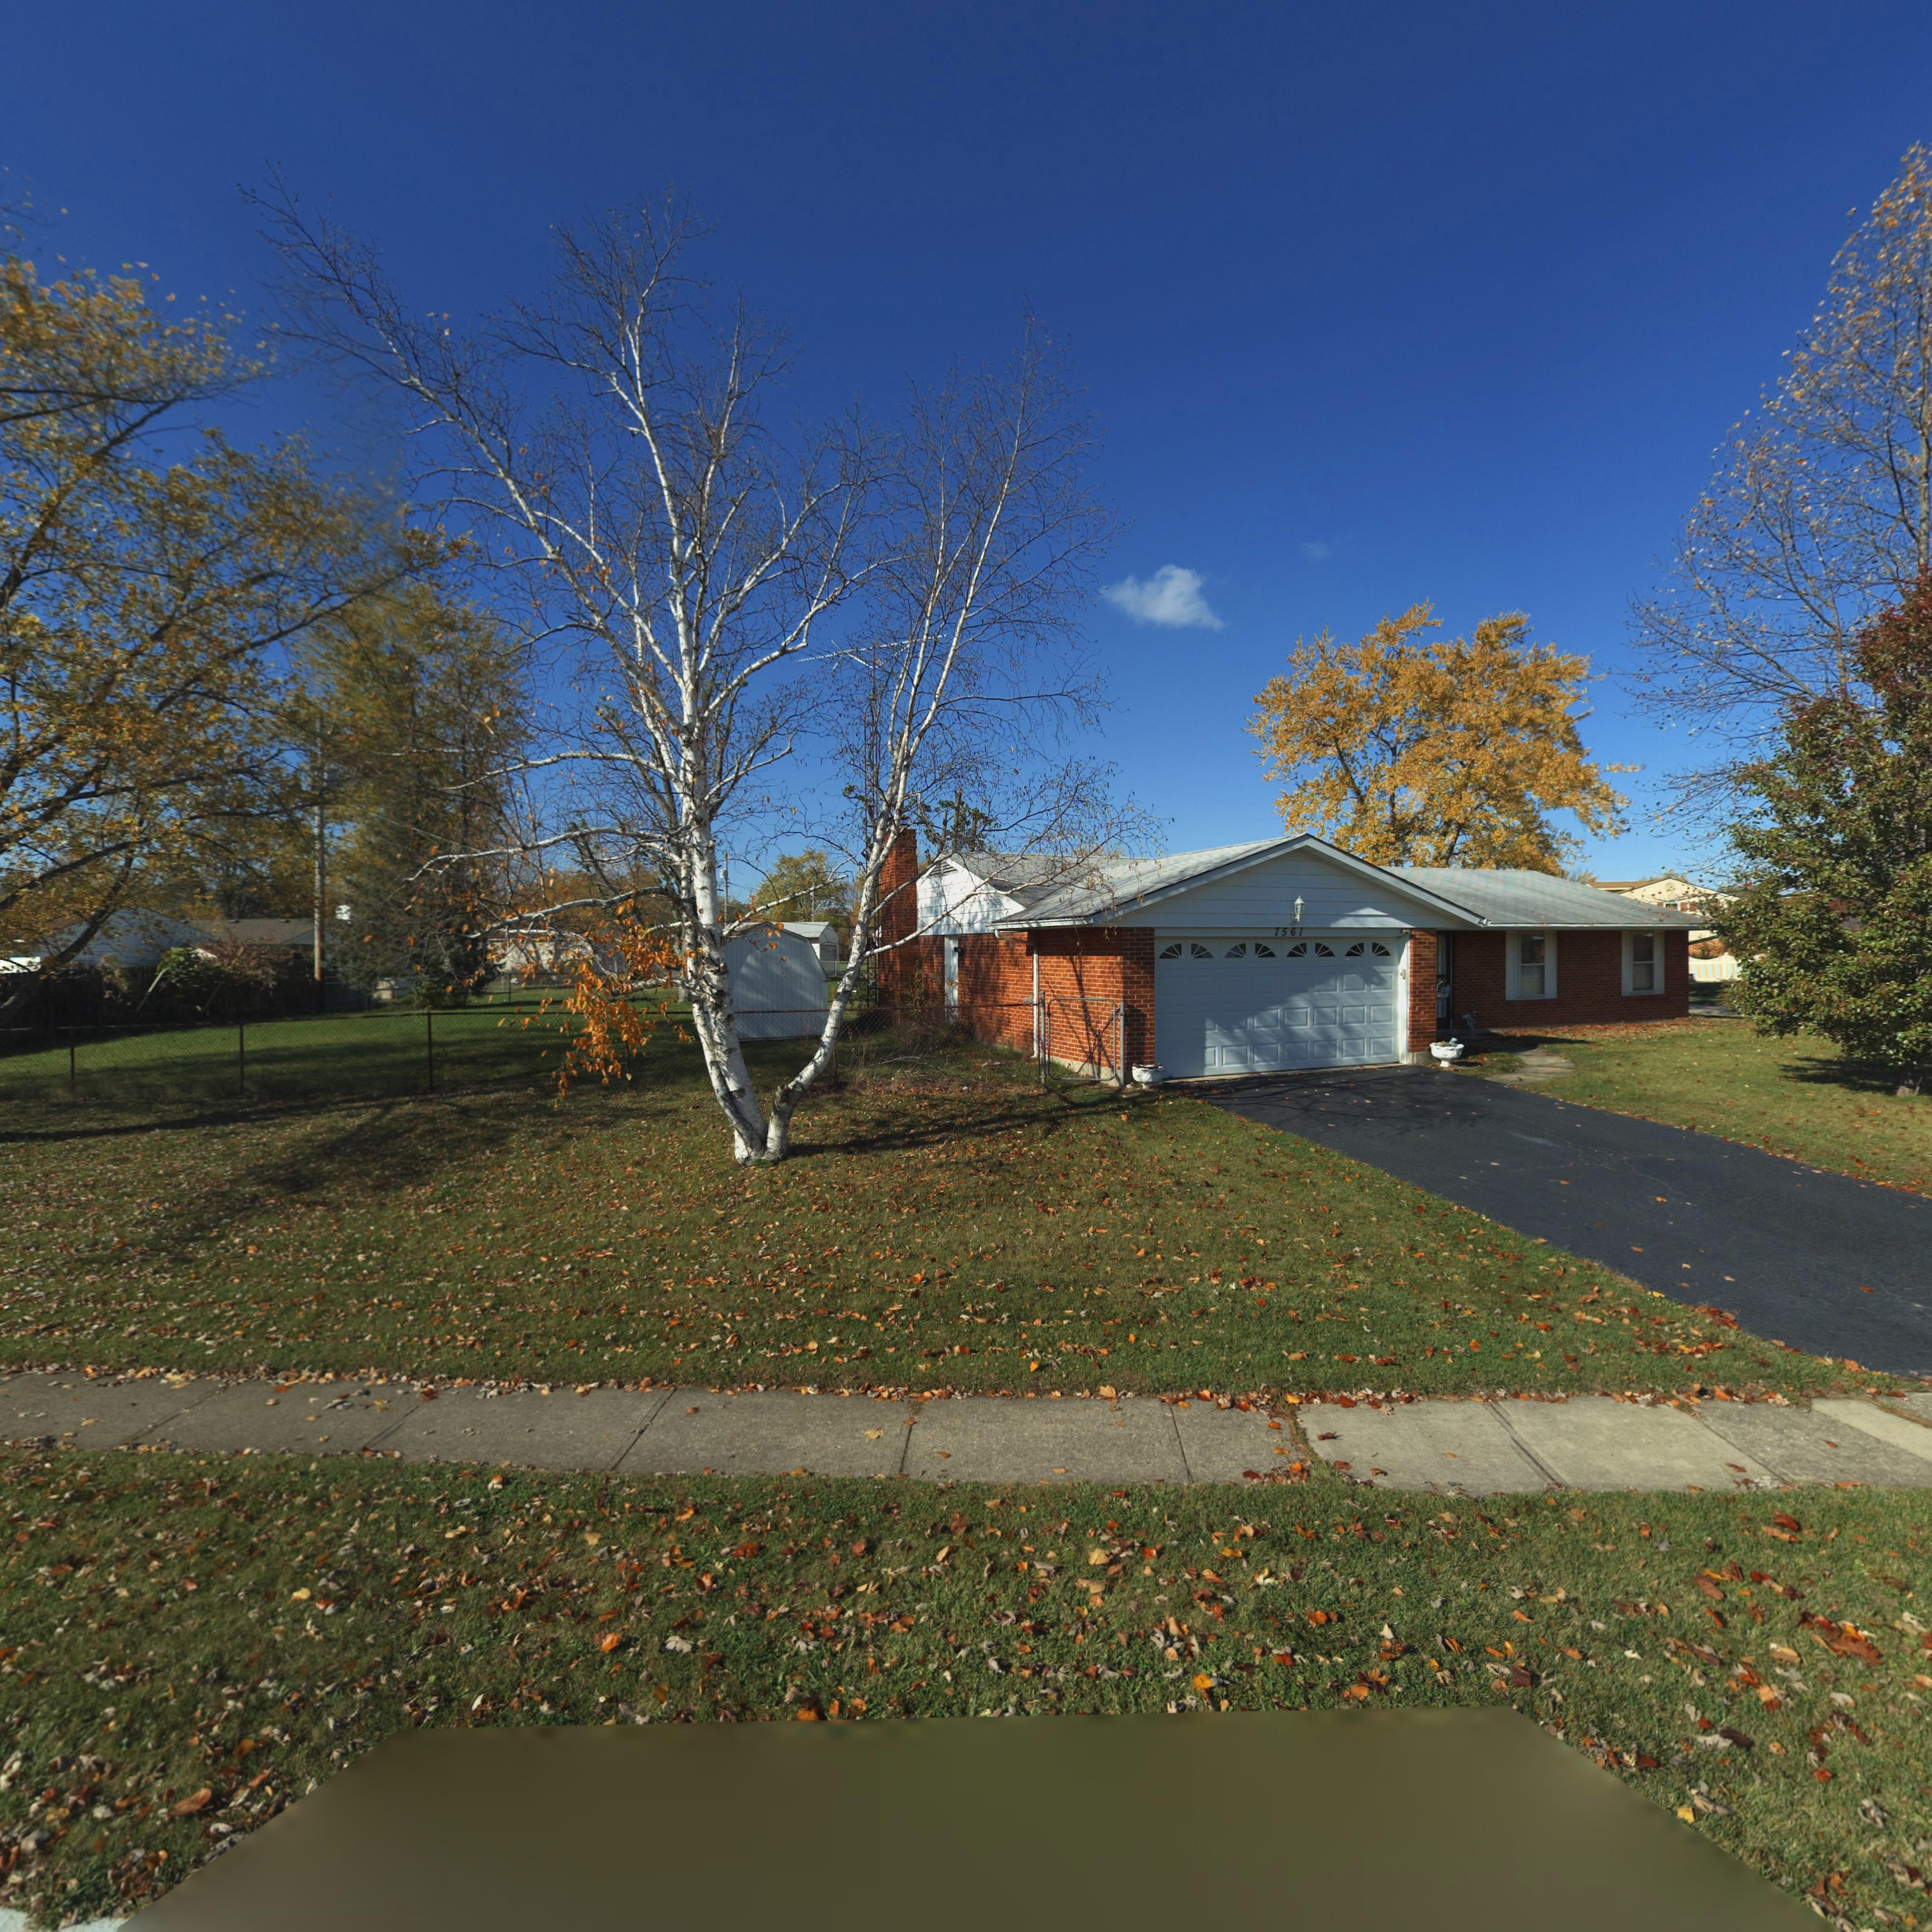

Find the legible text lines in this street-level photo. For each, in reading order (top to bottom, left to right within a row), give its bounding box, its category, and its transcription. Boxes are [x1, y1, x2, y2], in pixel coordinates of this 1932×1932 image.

[1274, 927, 1304, 937] StreetNumber: 7561